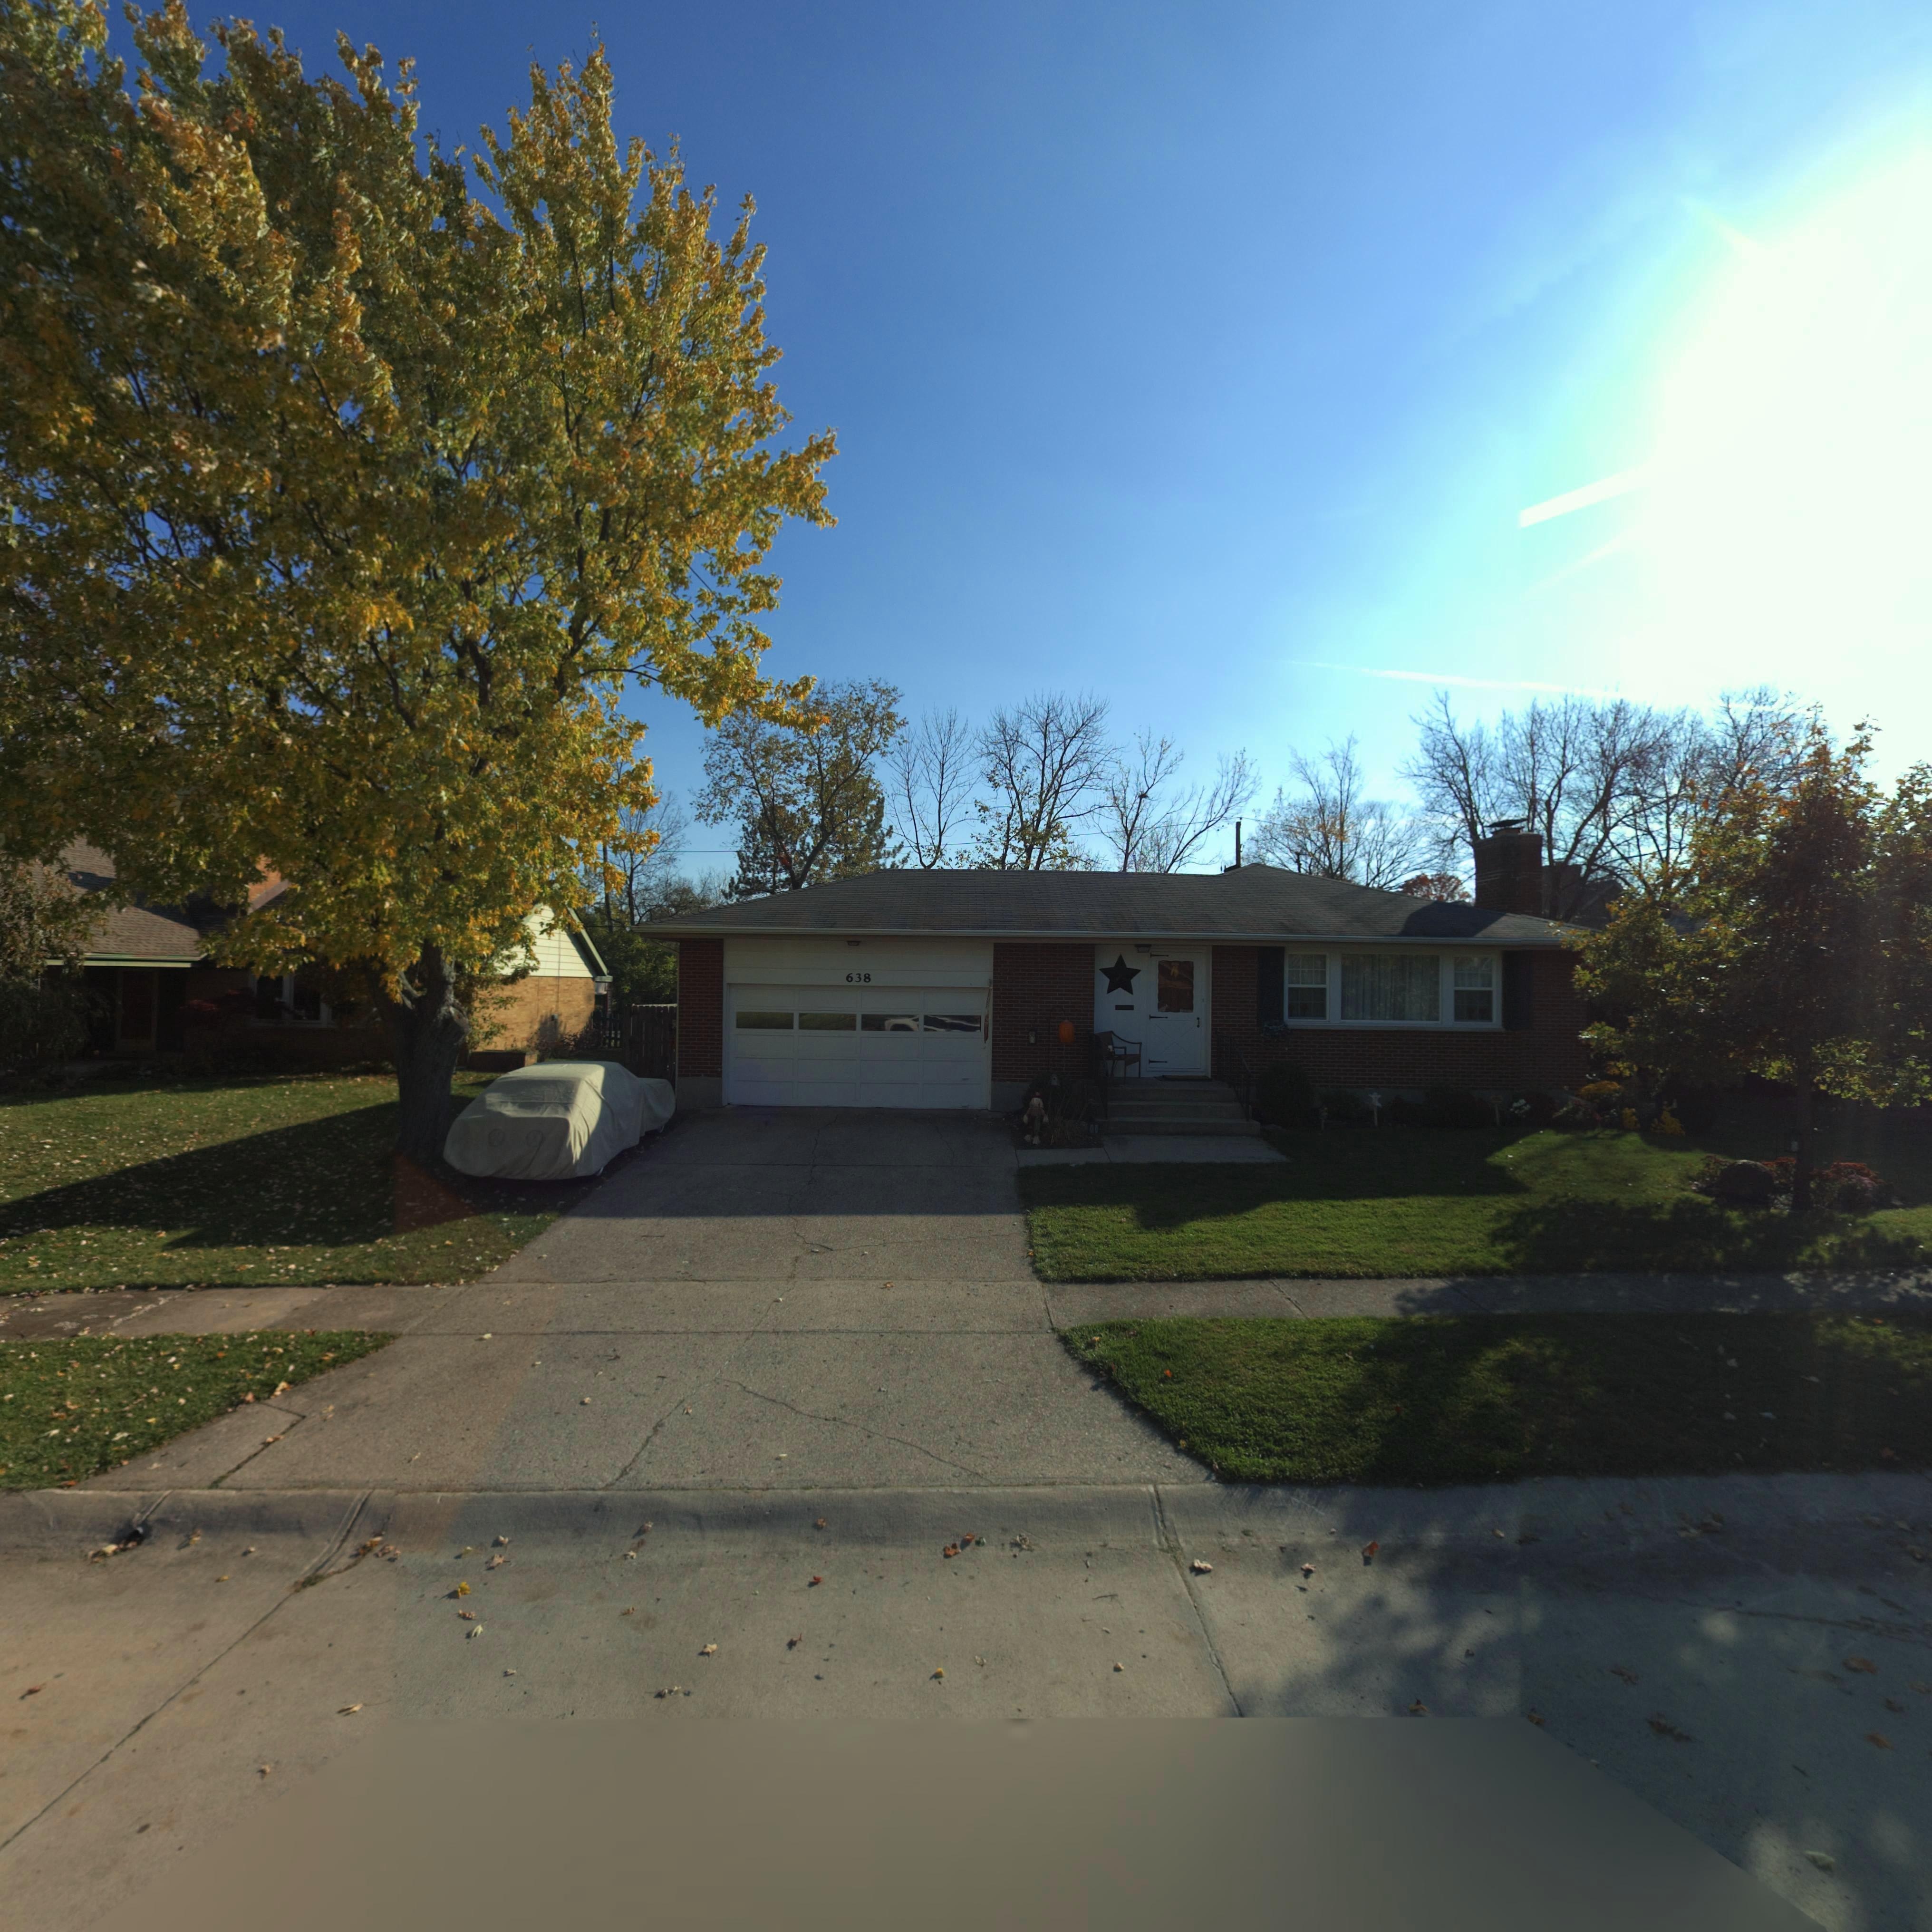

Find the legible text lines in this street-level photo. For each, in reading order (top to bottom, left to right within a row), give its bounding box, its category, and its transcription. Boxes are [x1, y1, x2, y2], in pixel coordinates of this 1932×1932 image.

[845, 972, 871, 983] StreetNumber: 638